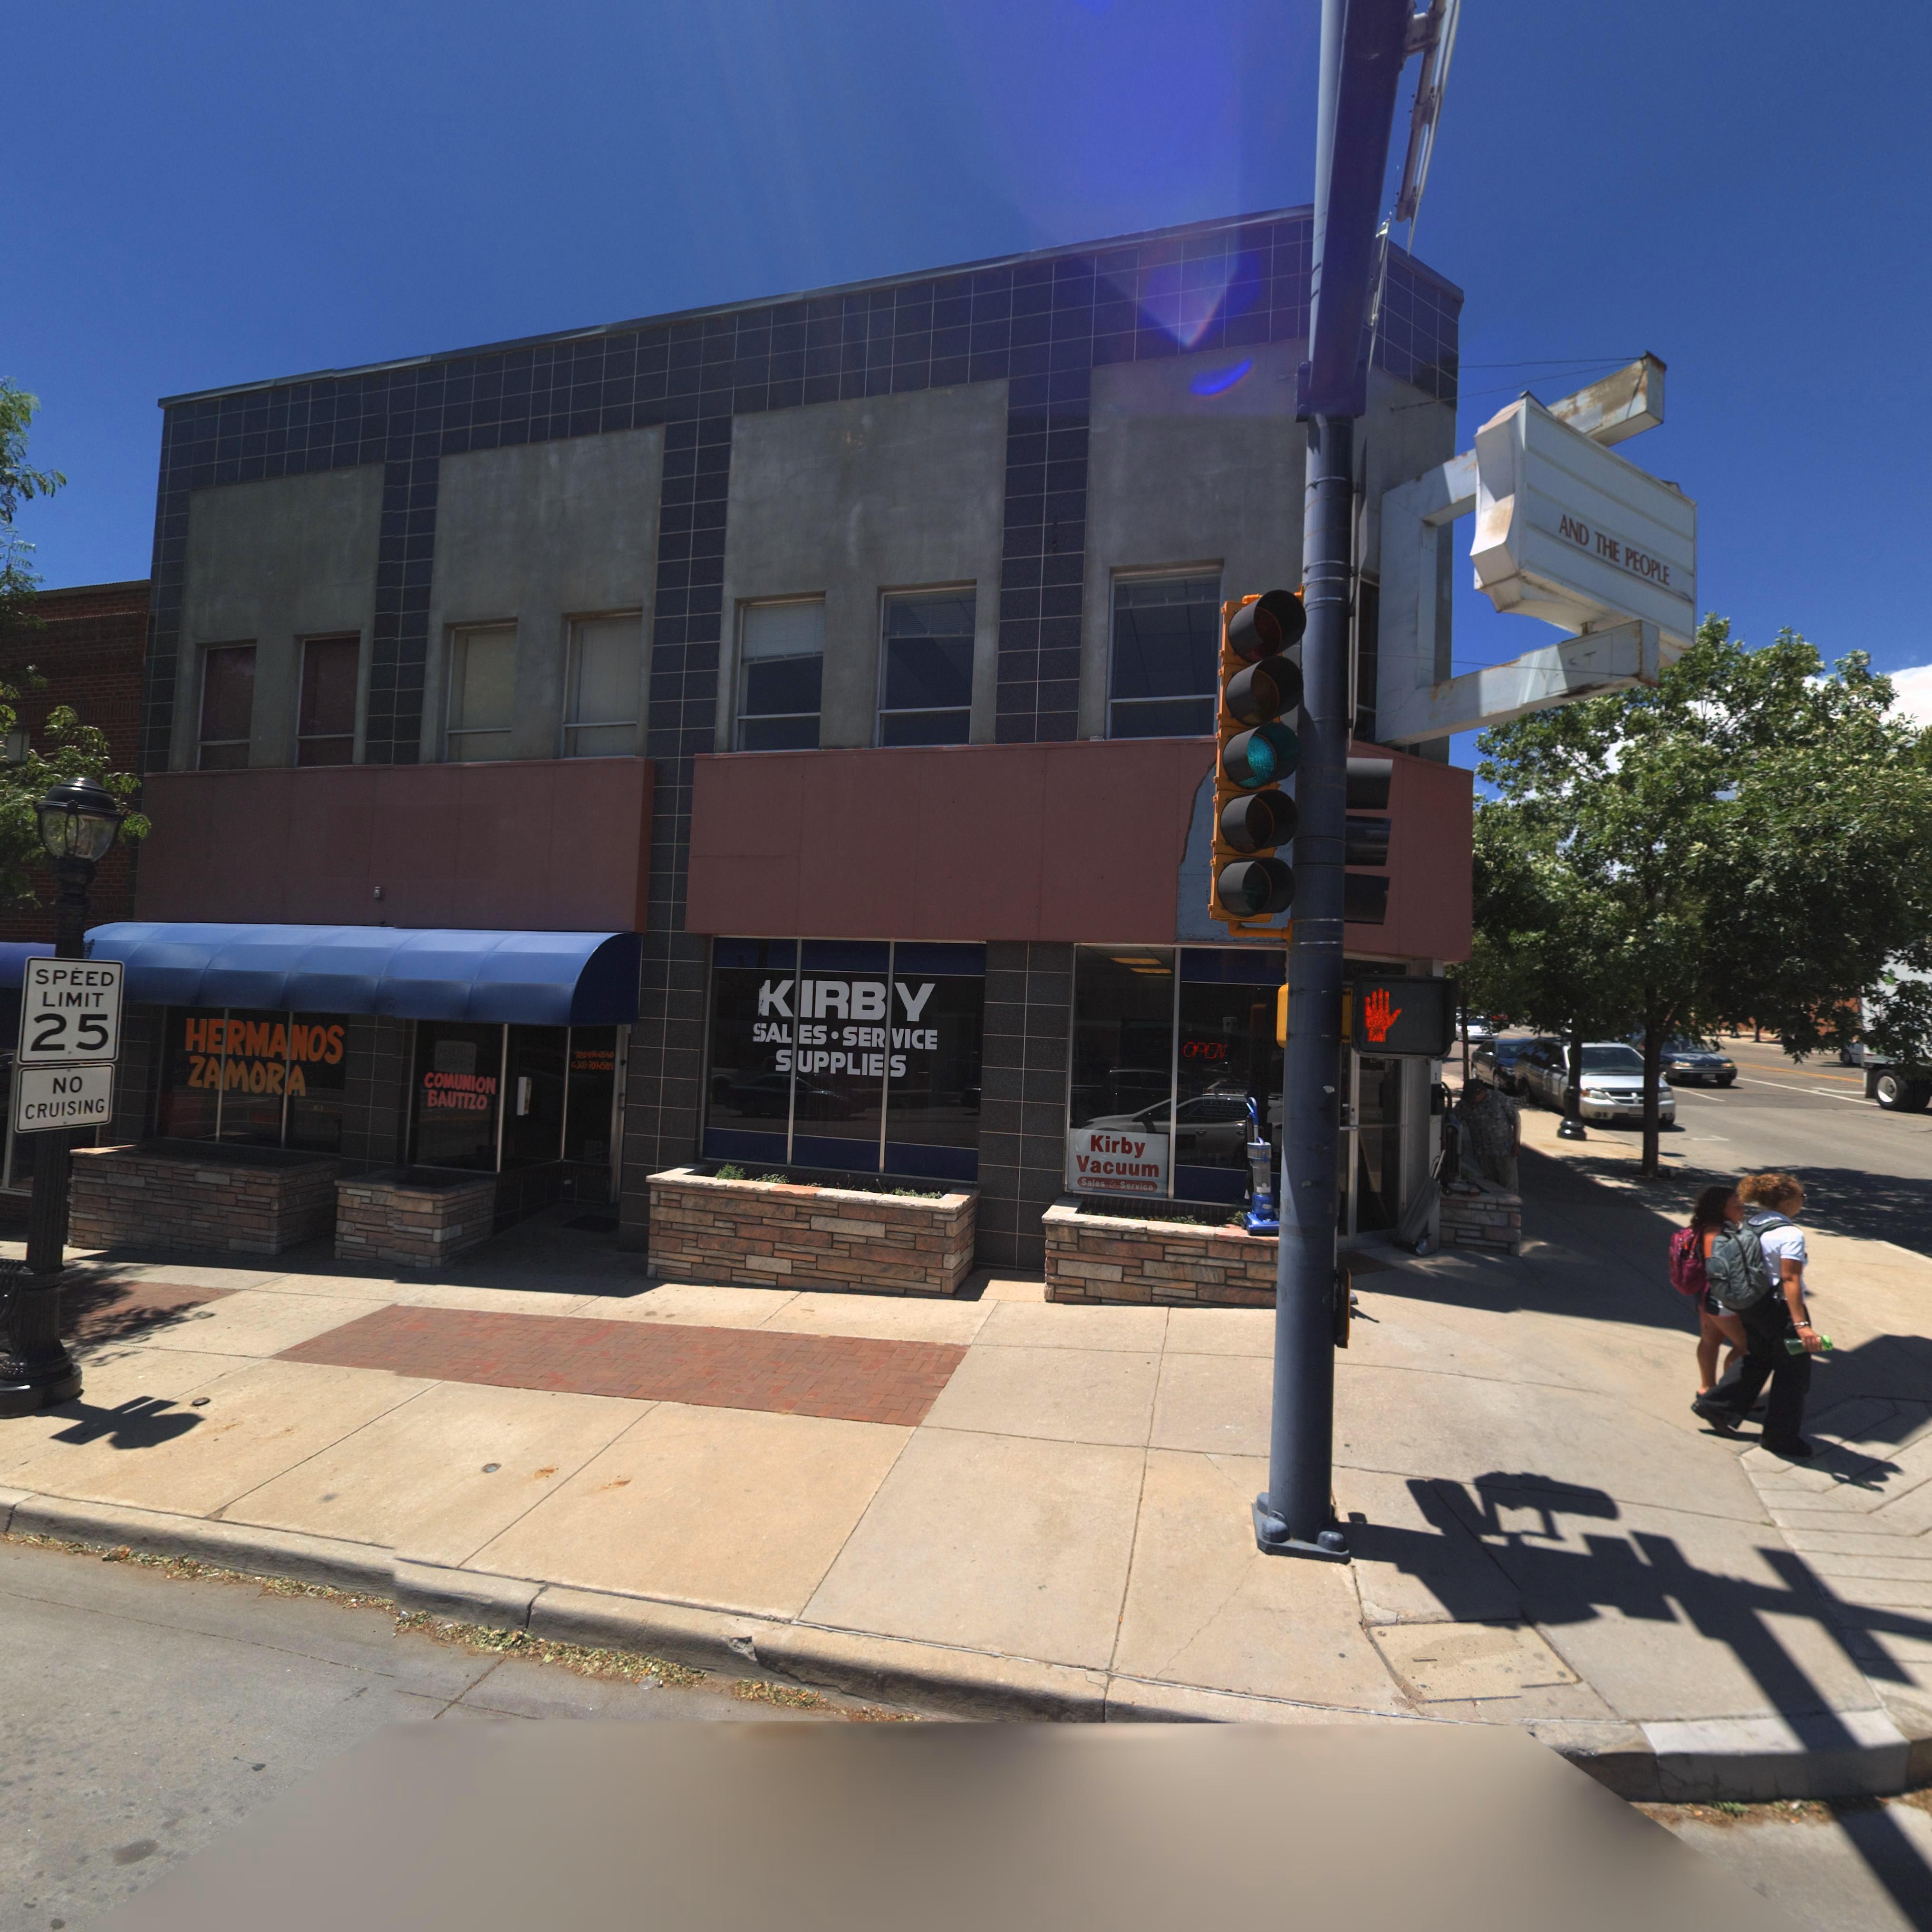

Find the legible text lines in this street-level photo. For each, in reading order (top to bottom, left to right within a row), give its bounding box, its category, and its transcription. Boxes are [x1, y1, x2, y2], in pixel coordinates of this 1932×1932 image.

[757, 978, 936, 1023] BusinessName: KIRBY
[1090, 1134, 1146, 1158] BusinessName: Kirby
[1075, 1154, 1159, 1178] BusinessName: Vacuum